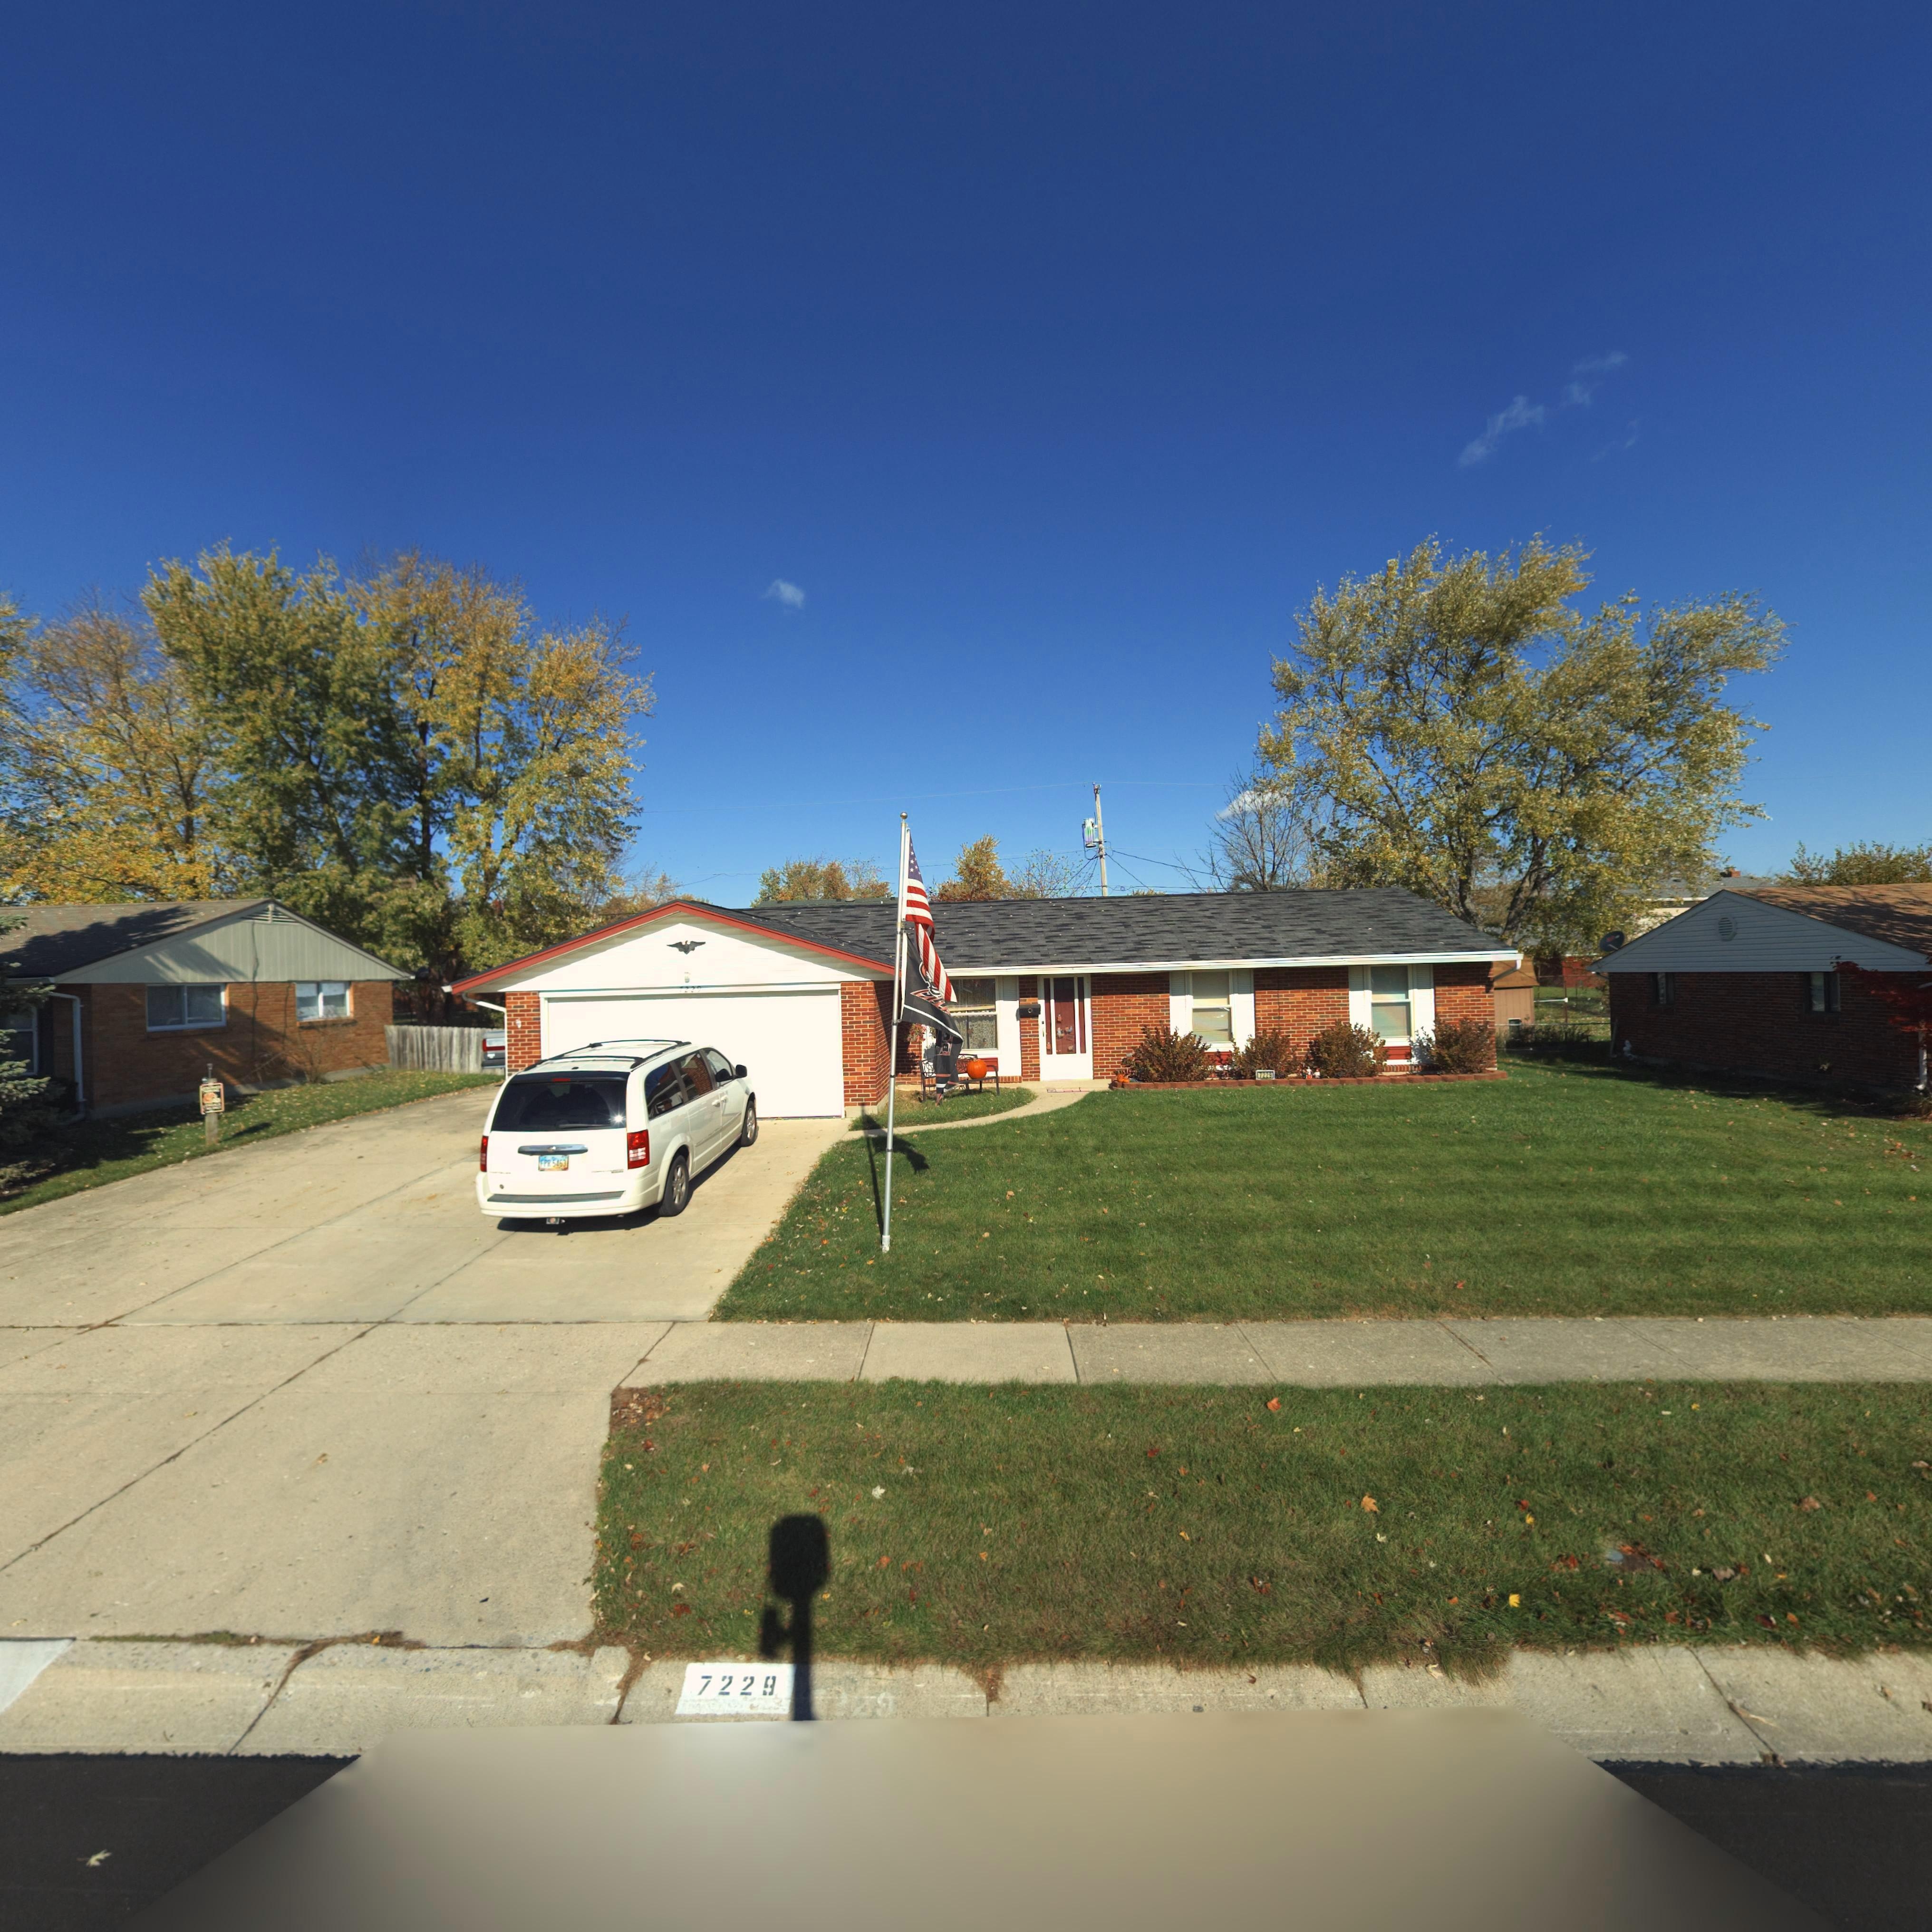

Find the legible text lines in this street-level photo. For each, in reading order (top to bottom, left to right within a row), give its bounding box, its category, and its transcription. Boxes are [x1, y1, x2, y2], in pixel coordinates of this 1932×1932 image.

[677, 985, 702, 995] StreetNumber: 7229
[1257, 1071, 1273, 1079] StreetNumber: 7229
[694, 1674, 778, 1698] StreetNumber: 7229